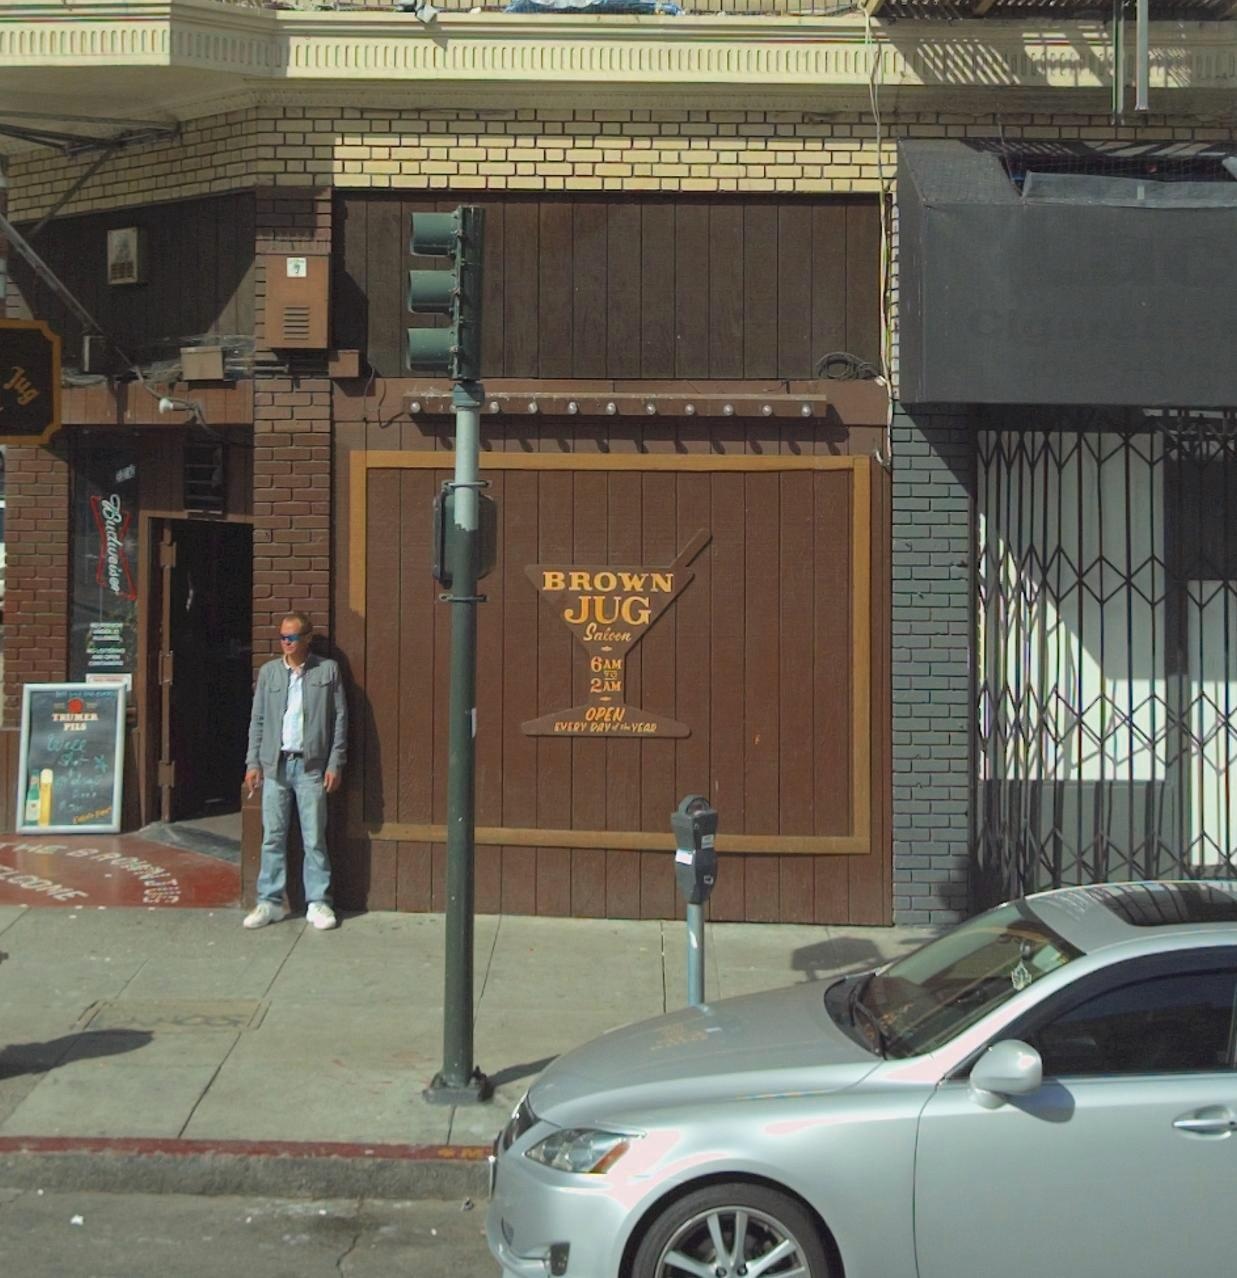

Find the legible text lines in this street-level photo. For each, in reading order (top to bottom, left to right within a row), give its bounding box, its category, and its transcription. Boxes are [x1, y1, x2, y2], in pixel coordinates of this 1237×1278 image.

[1, 362, 42, 410] BusinessName: JUG
[99, 498, 126, 595] None: Budweis**
[539, 569, 676, 595] BusinessName: BROWN
[561, 593, 654, 627] BusinessName: JUG
[580, 620, 635, 645] BusinessName: Saloon
[587, 654, 624, 676] None: 6AM
[587, 675, 623, 696] None: 2AM
[60, 720, 90, 734] None: FILS
[49, 710, 102, 725] None: TRU*ER
[581, 703, 629, 724] None: OPEN
[550, 719, 662, 735] None: EVERY DAY ** *** YEAR